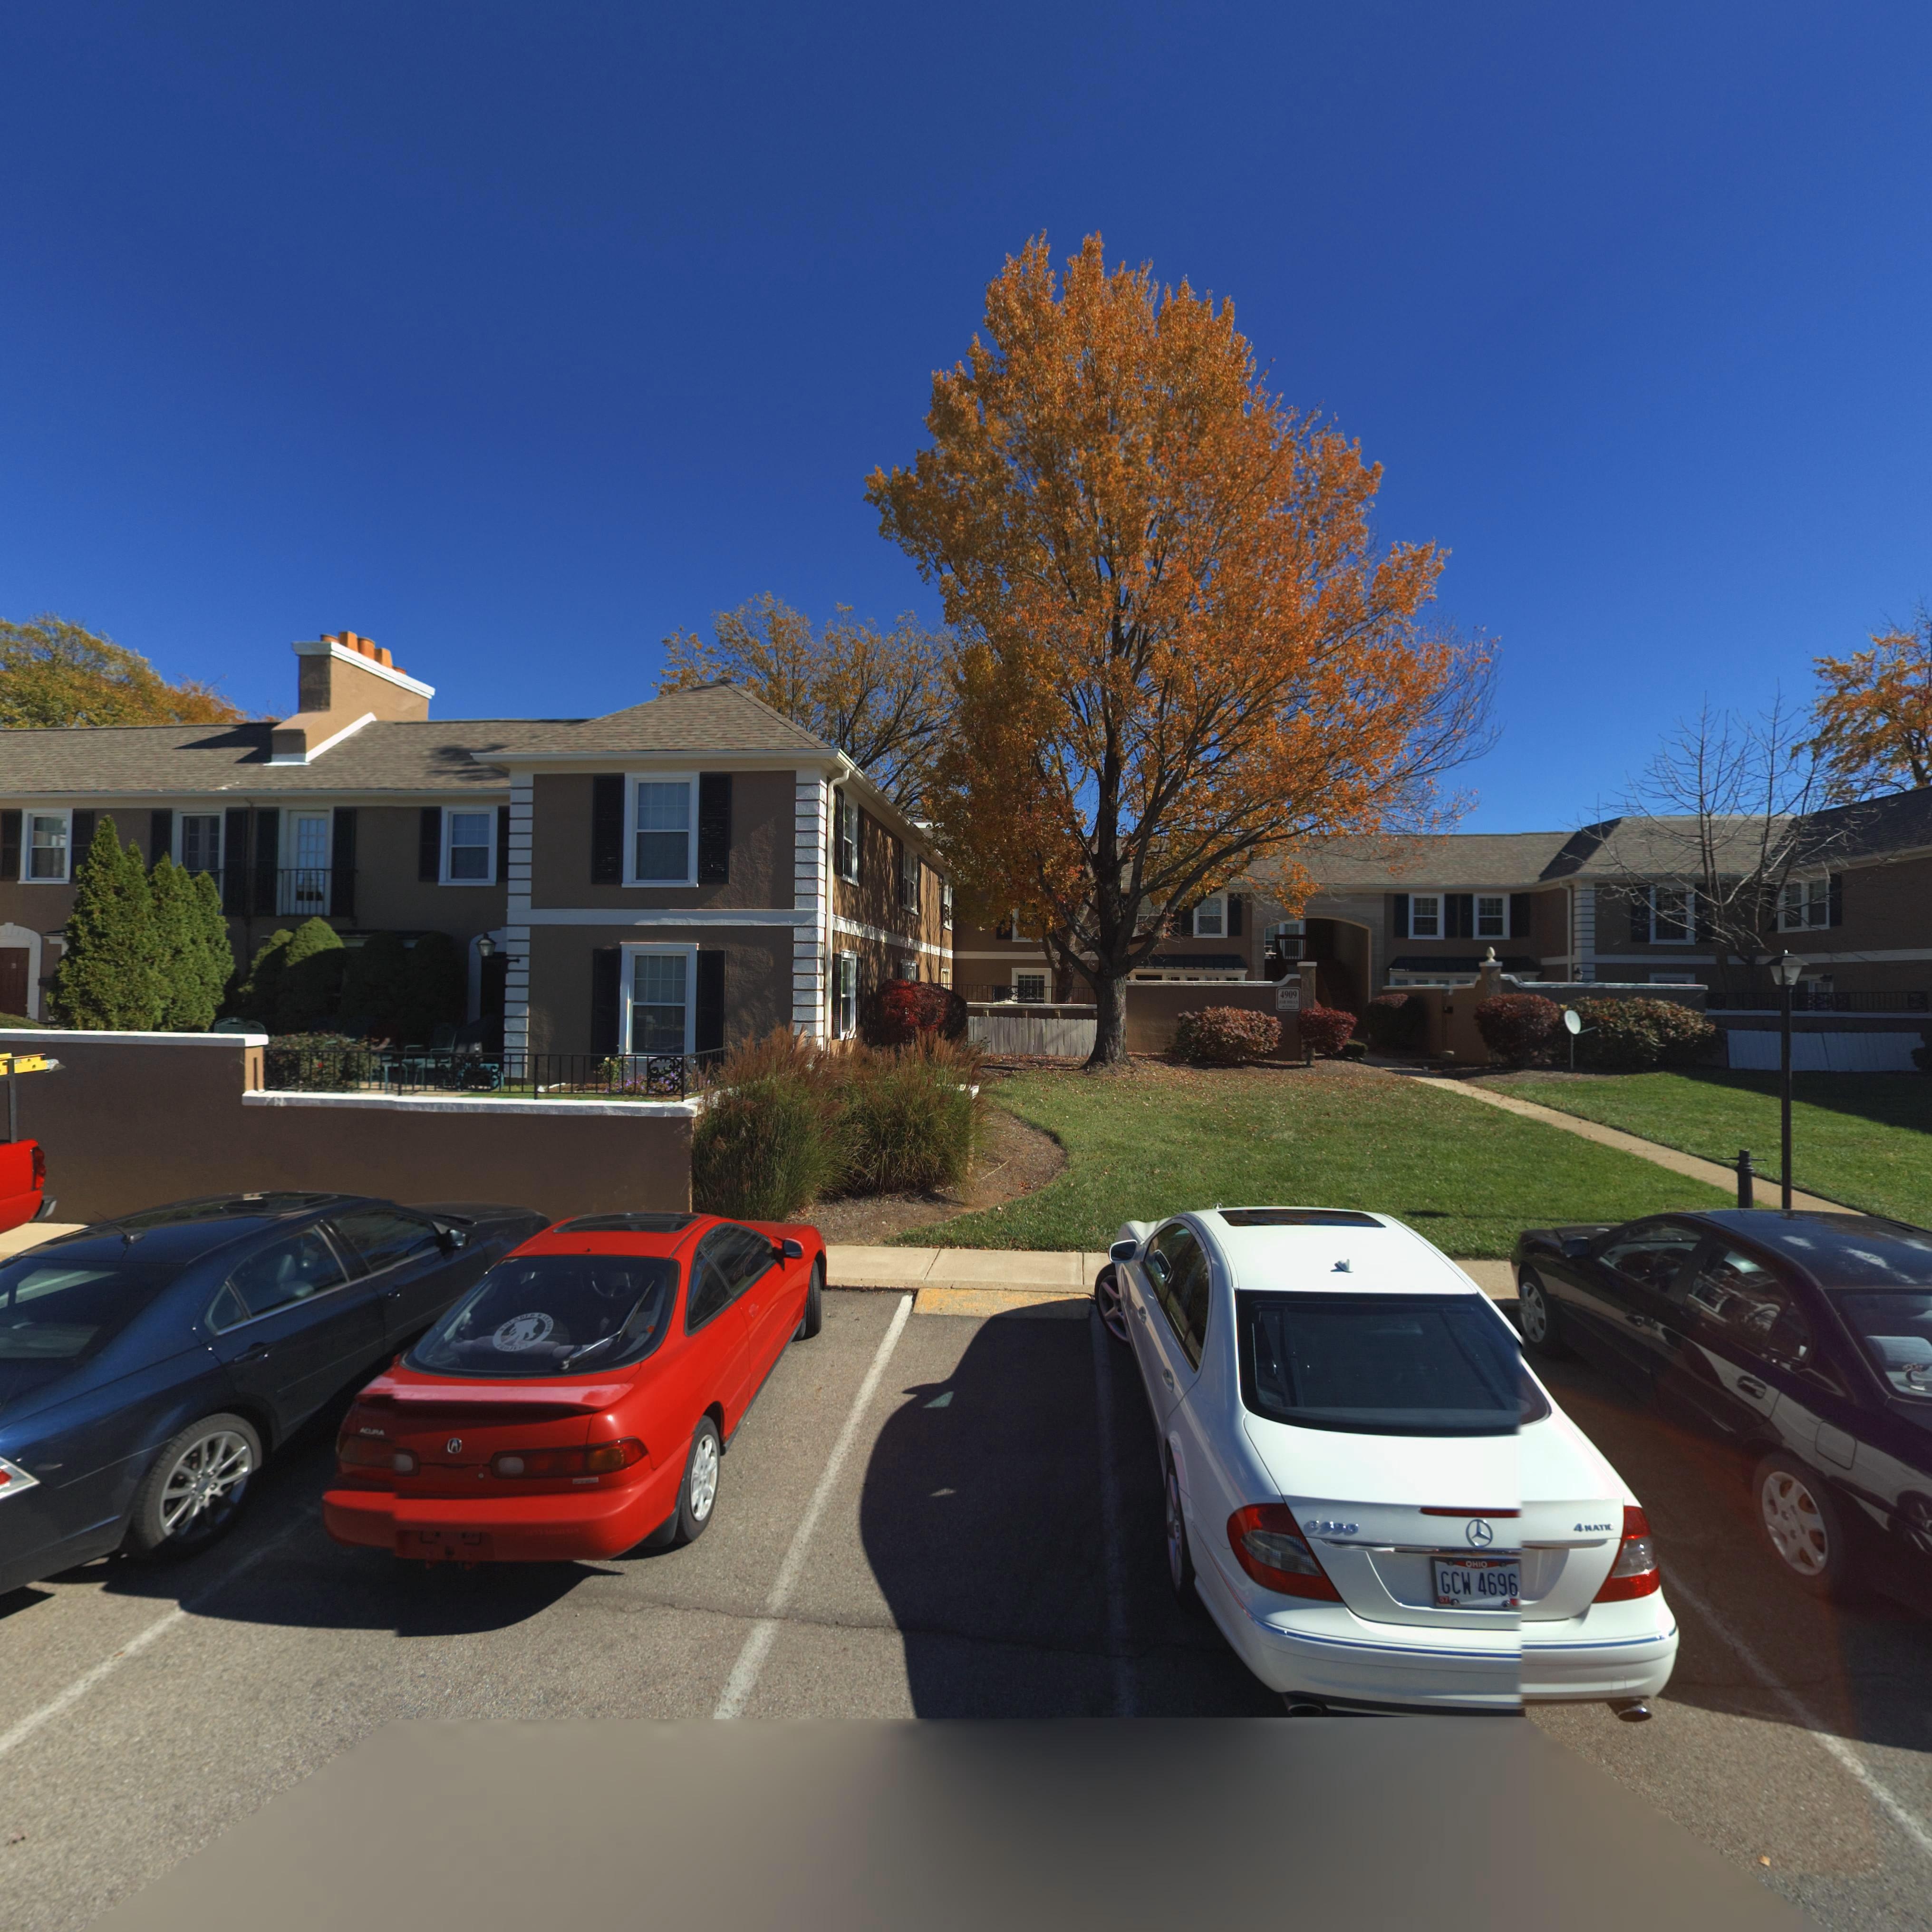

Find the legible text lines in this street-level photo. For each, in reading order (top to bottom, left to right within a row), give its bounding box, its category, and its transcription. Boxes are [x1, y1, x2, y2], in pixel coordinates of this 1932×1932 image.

[1279, 990, 1298, 999] StreetNumber: 4909